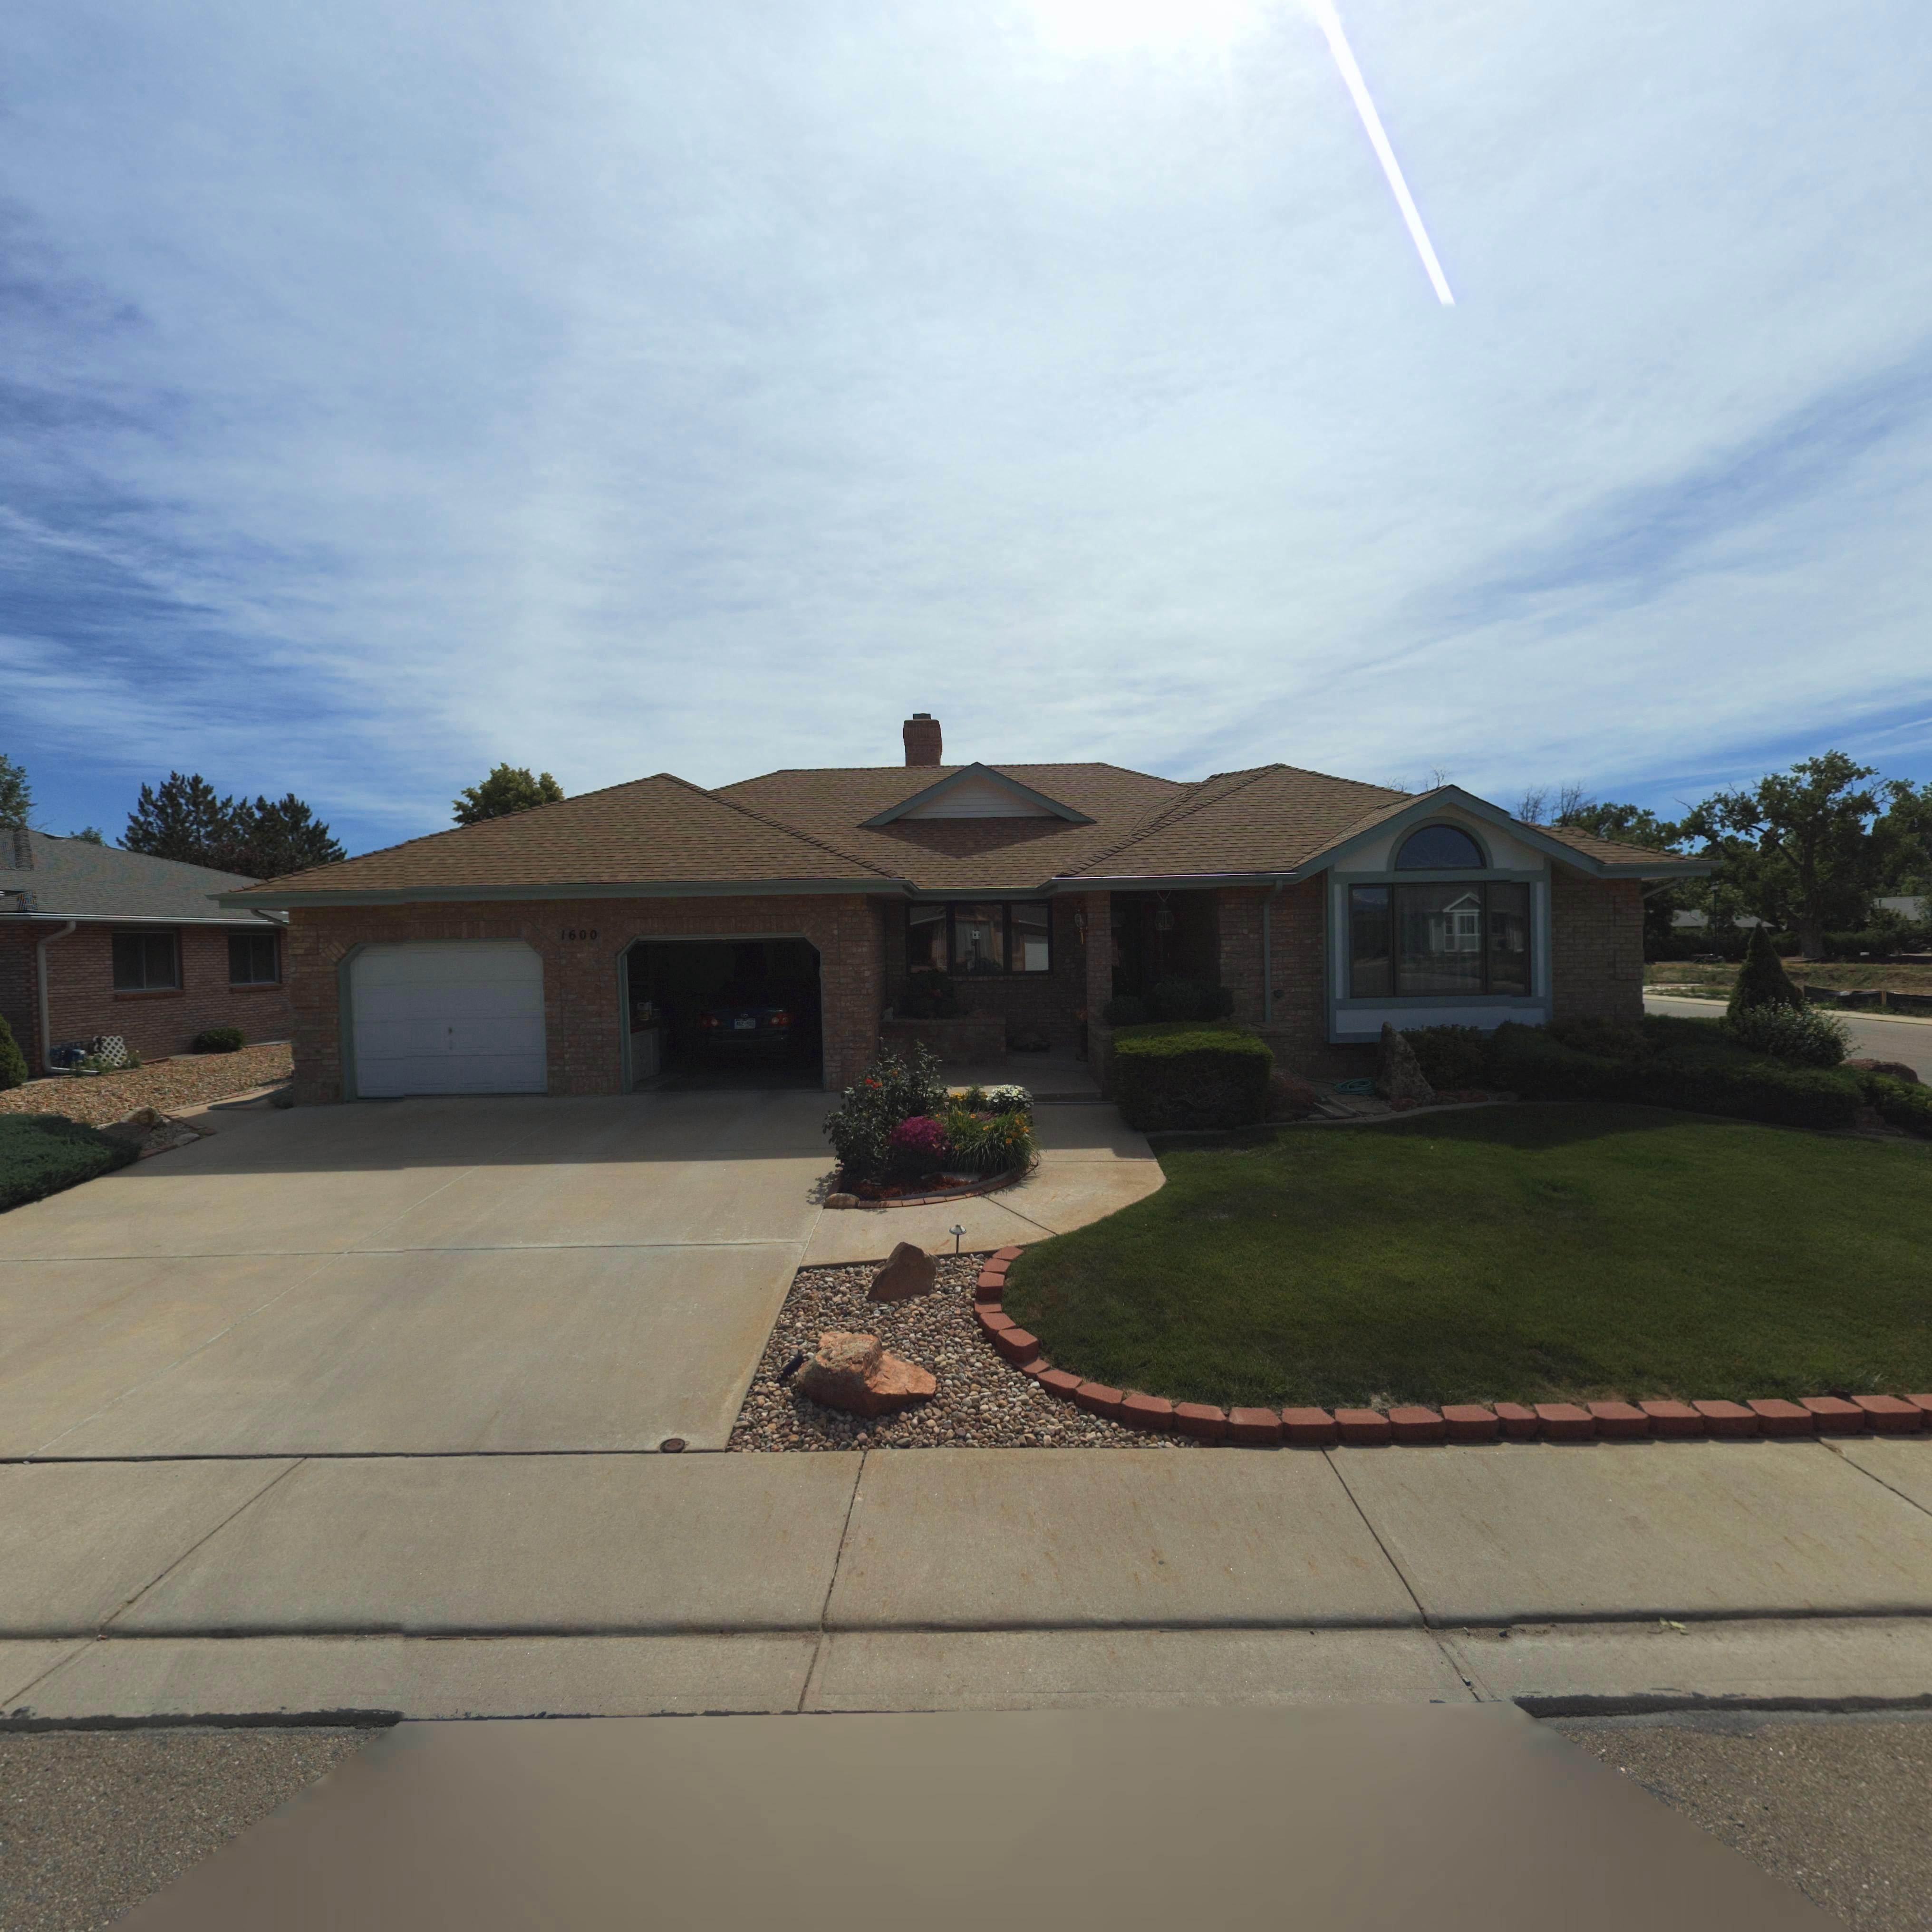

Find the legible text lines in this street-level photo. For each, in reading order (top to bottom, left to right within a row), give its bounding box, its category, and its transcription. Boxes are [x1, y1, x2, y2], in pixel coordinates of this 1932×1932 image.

[560, 929, 598, 940] StreetNumber: 1600